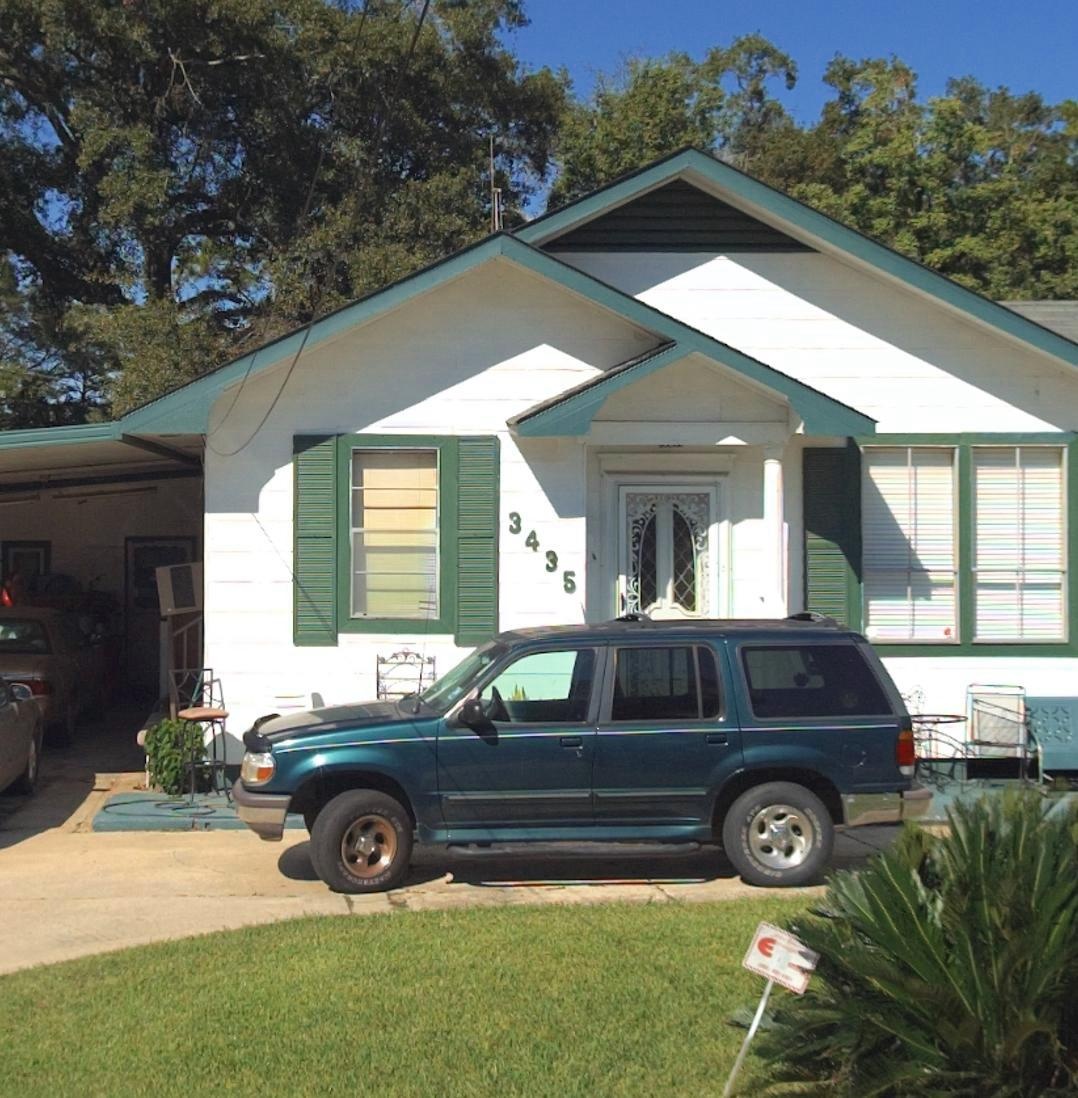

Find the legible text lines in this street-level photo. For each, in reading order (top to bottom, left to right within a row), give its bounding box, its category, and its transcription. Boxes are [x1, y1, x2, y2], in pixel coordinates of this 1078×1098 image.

[507, 510, 578, 595] StreetNumber: 3435
[756, 935, 779, 961] None: E